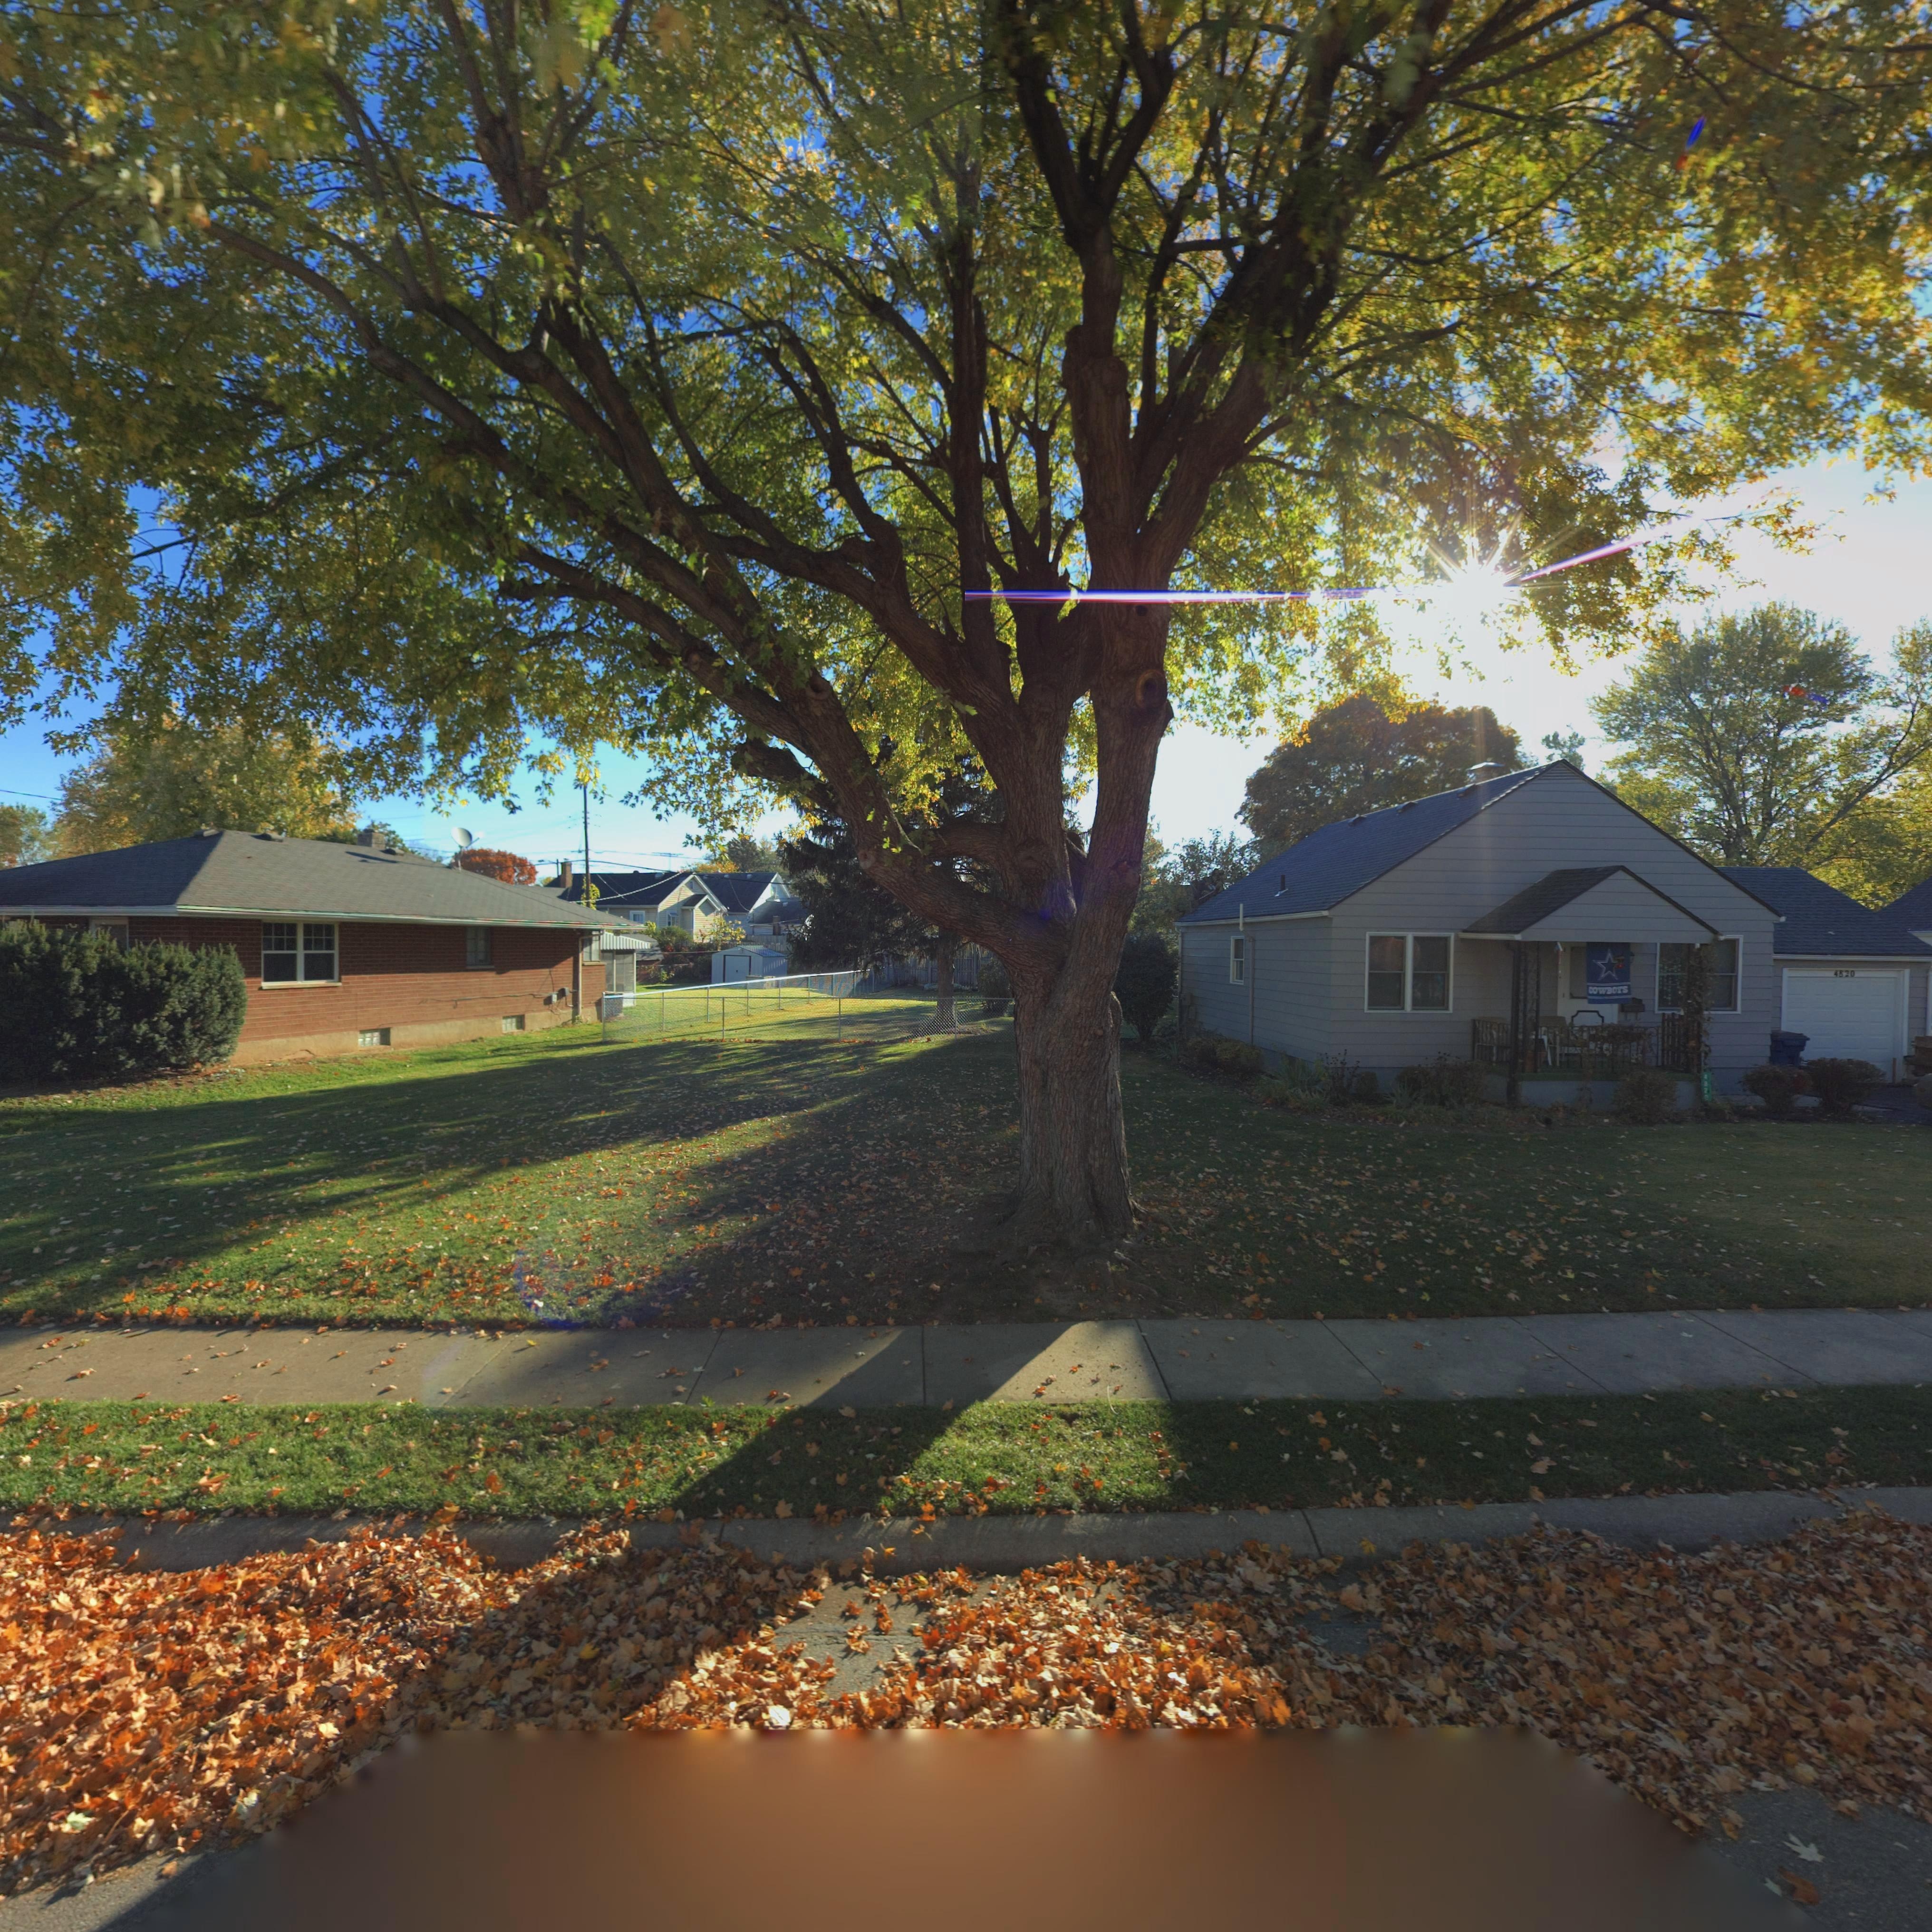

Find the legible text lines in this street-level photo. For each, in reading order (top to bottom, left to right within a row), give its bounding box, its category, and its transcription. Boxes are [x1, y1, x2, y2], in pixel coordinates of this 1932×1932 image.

[1832, 969, 1856, 978] StreetNumber: 4520